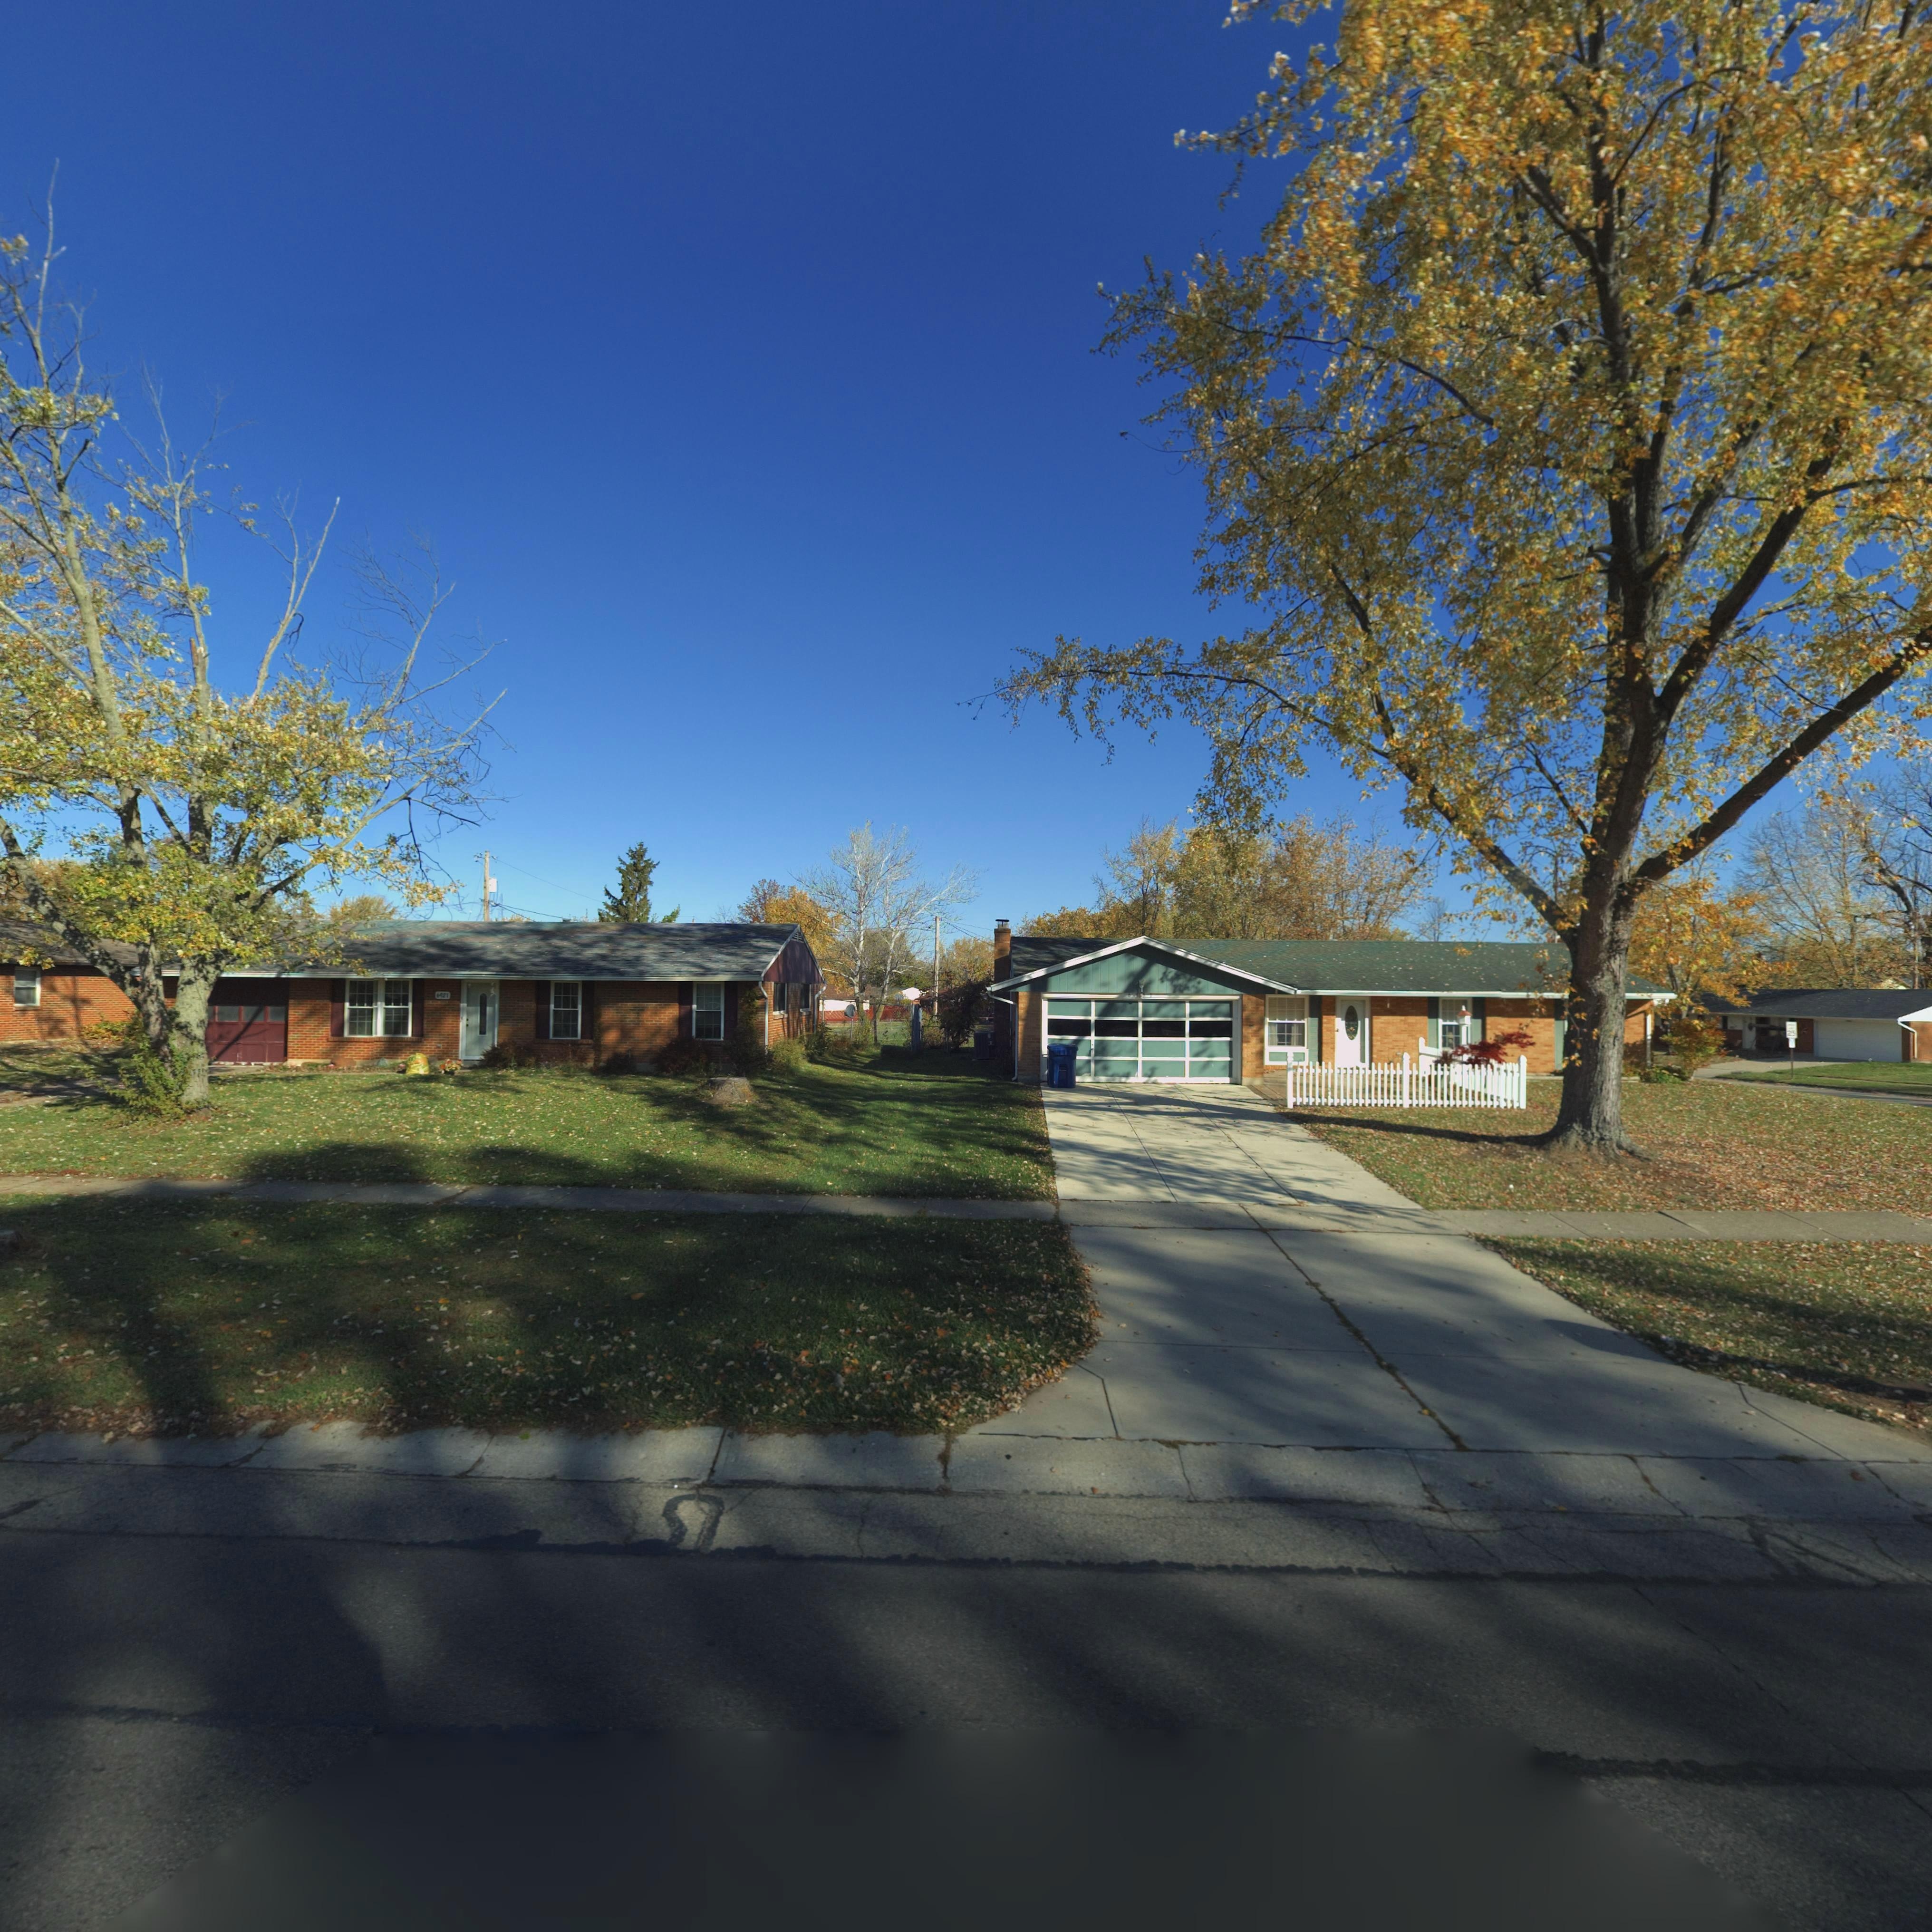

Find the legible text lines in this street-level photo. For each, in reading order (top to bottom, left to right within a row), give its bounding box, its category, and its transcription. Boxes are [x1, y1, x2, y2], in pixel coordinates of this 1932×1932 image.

[435, 992, 450, 1000] StreetNumber: 6921